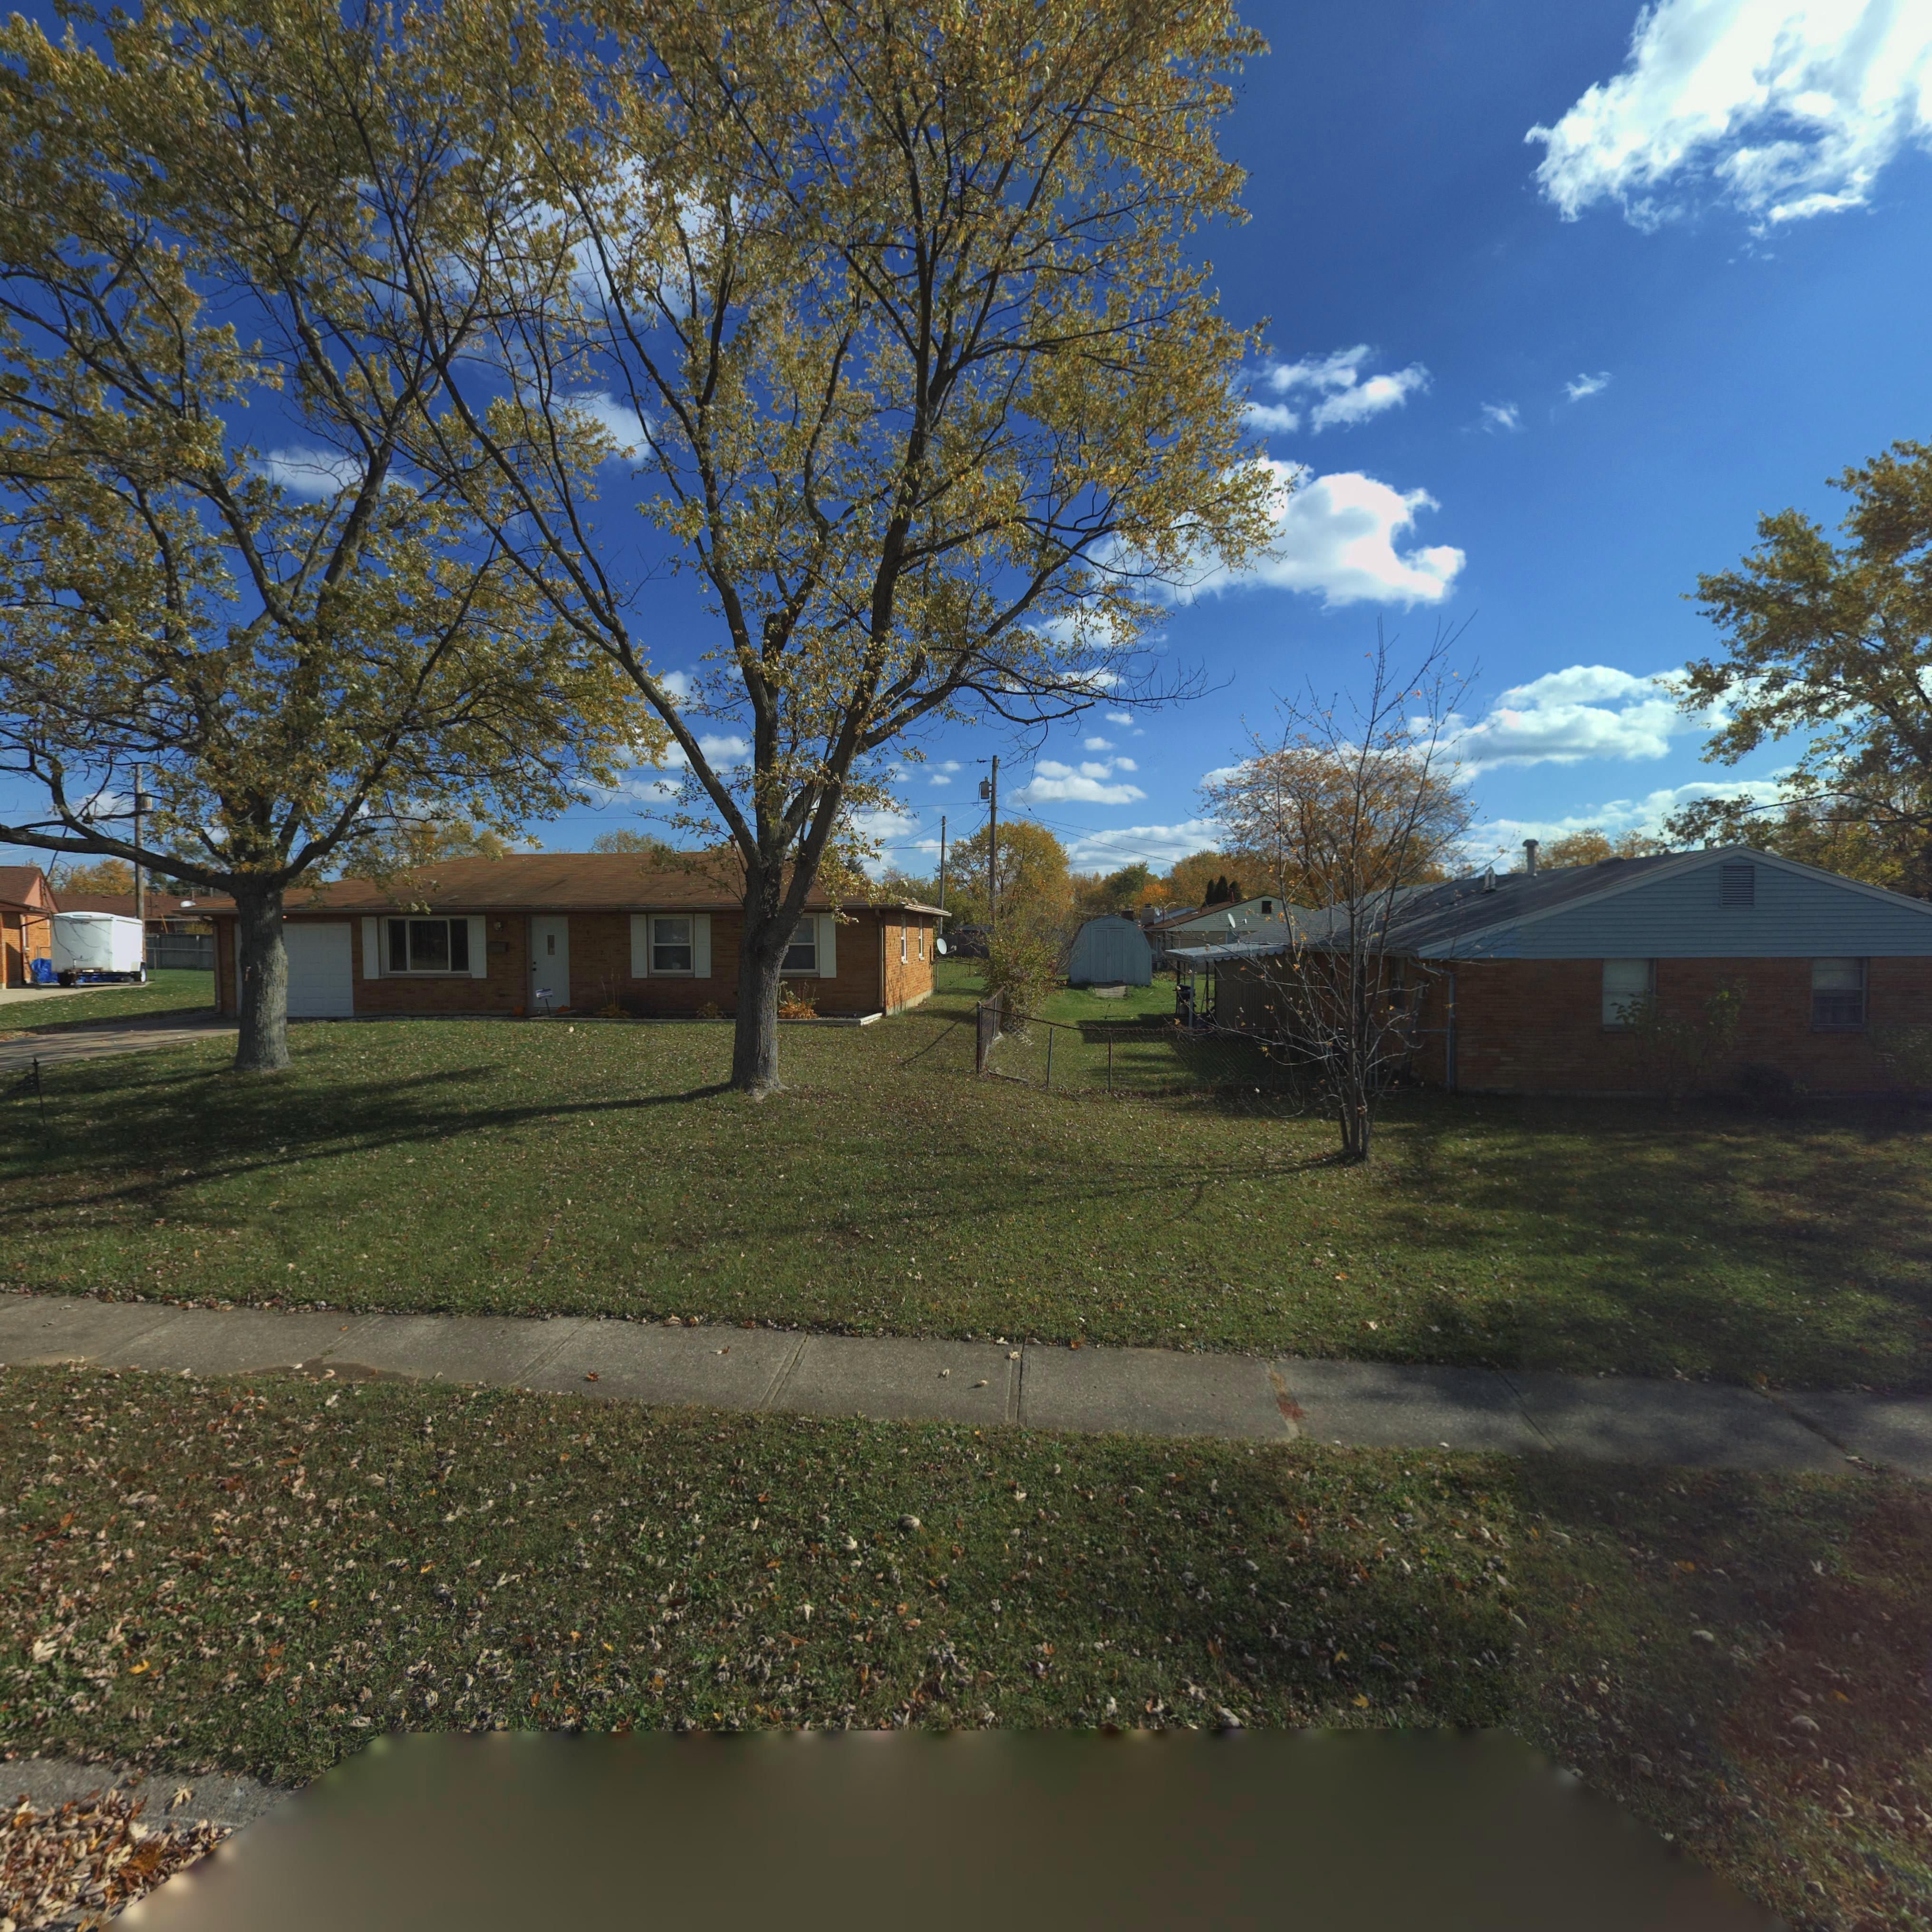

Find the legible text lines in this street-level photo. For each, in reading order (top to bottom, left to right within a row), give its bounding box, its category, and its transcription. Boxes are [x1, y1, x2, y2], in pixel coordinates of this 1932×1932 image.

[578, 920, 604, 956] StreetNumber: 7612